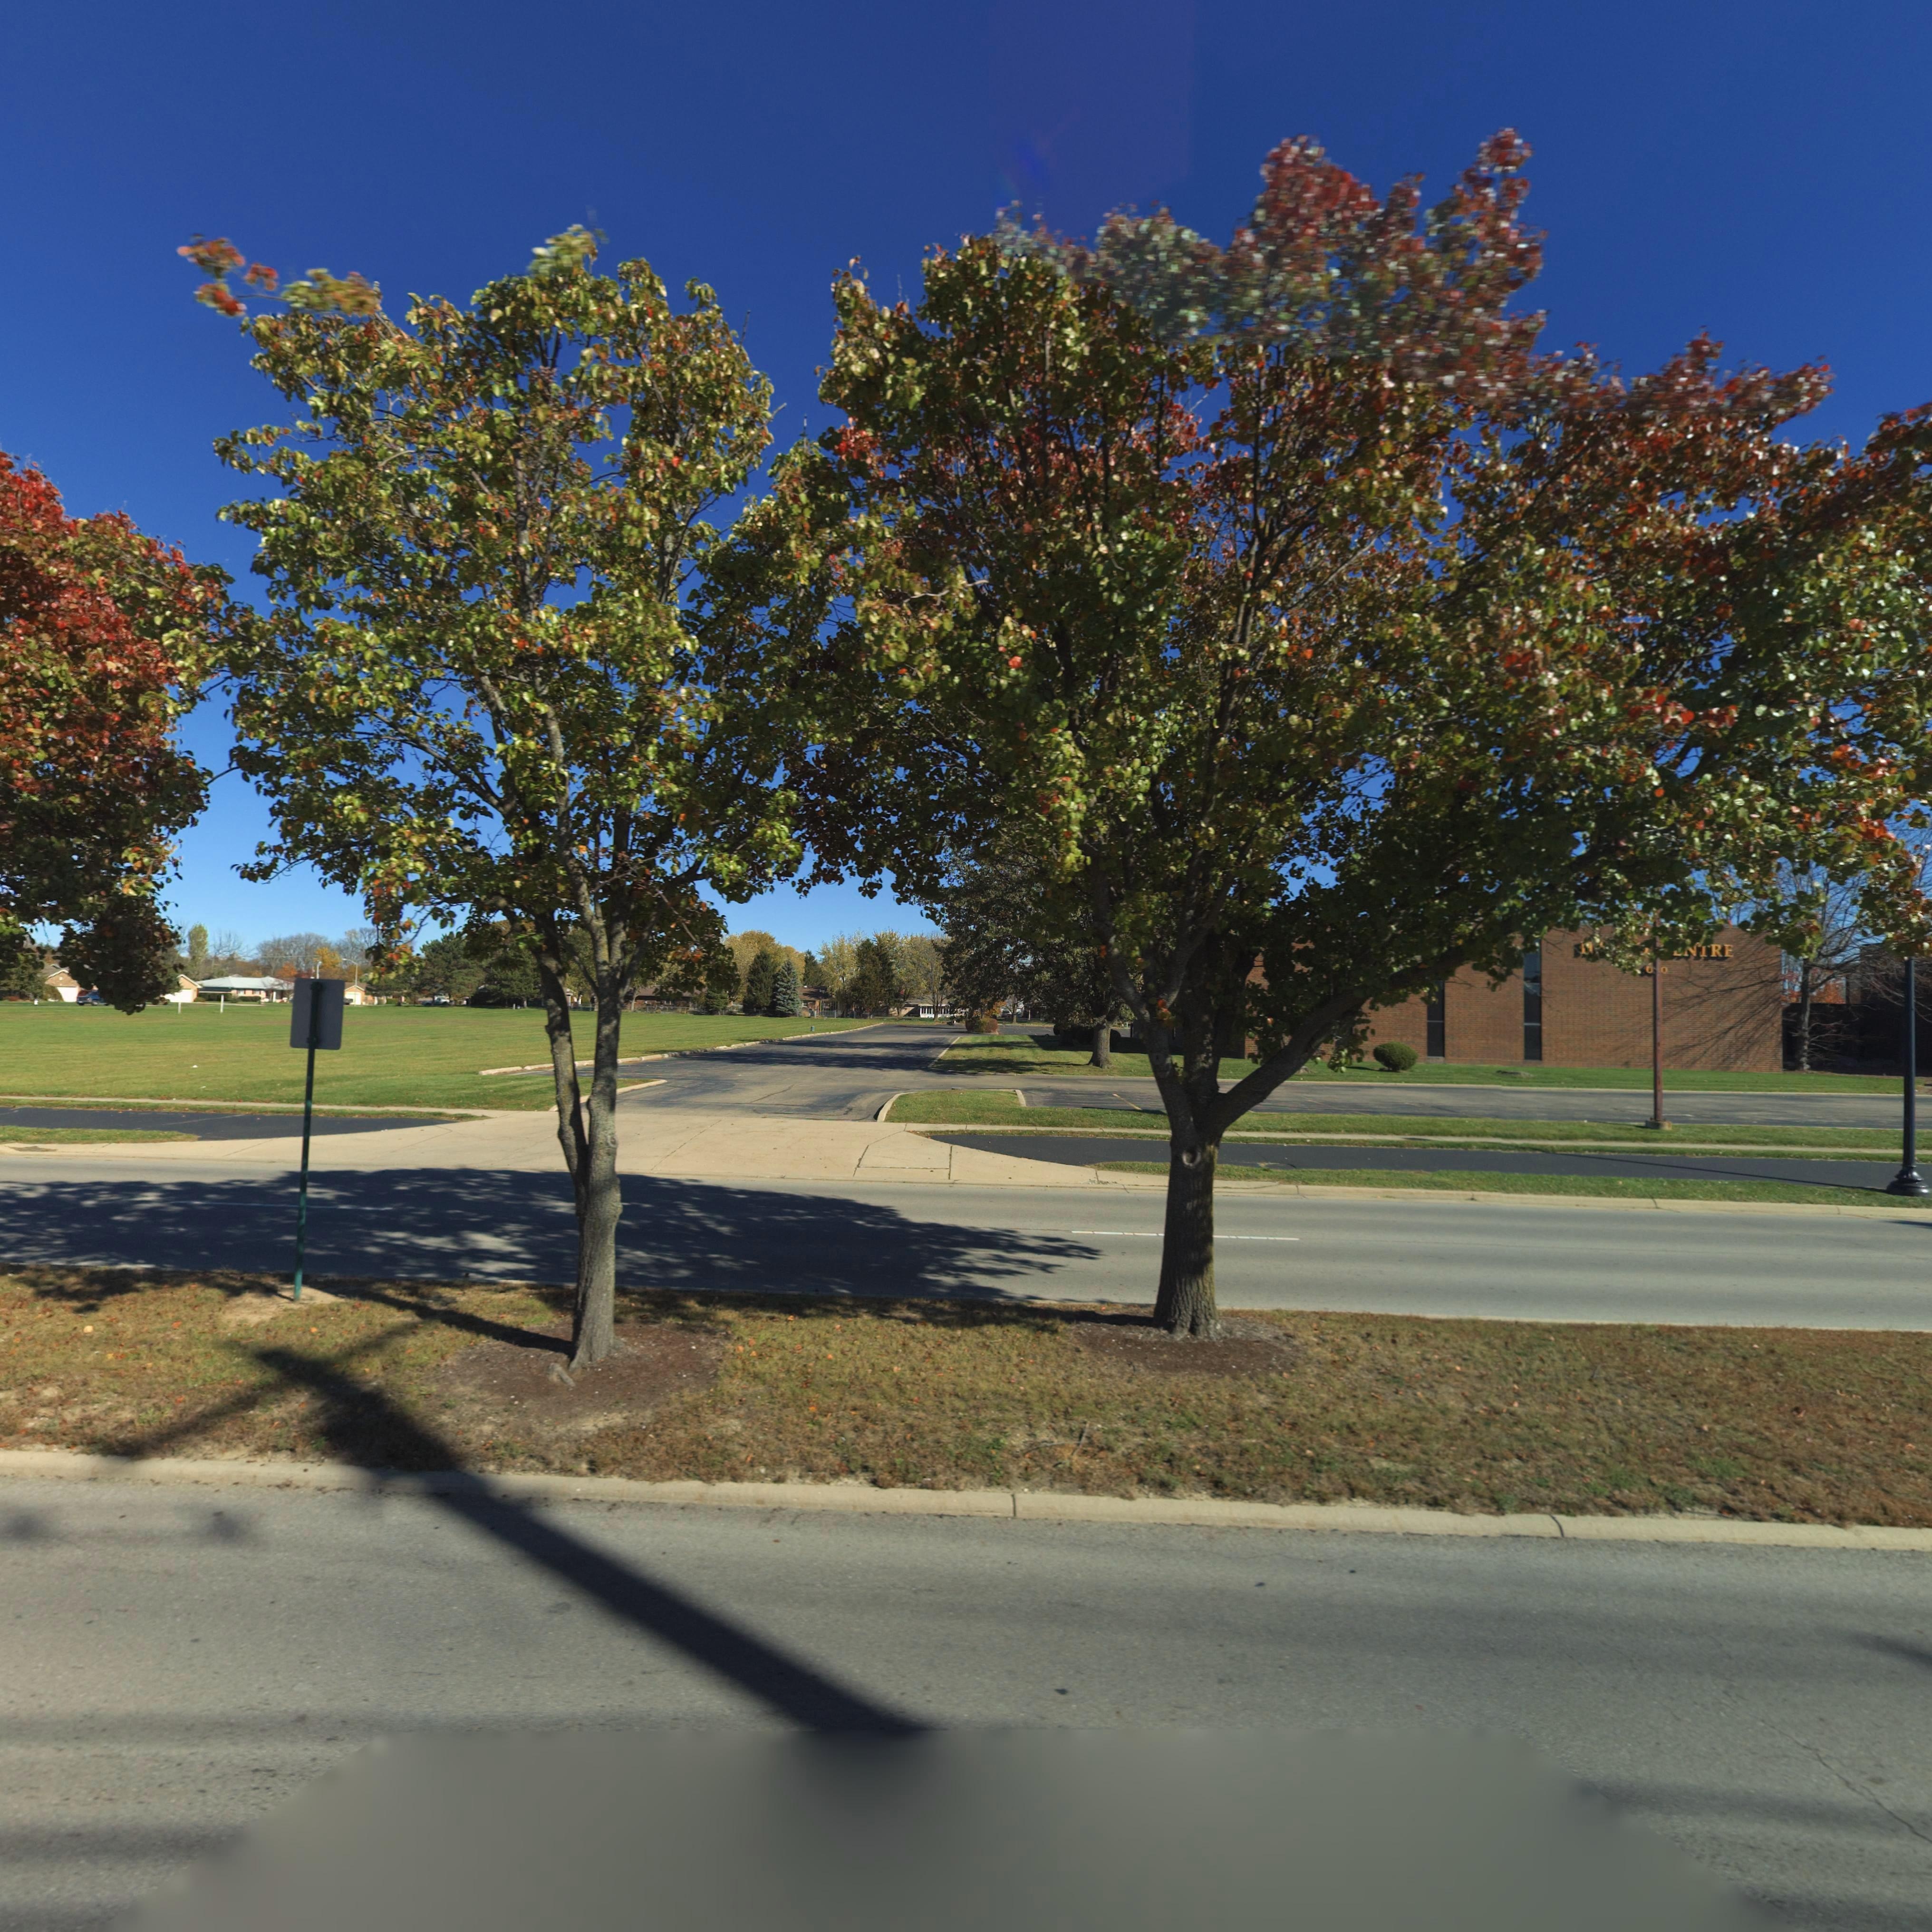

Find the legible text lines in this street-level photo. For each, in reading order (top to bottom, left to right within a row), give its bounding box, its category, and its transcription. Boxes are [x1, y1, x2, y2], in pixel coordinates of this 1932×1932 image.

[1710, 943, 1735, 959] BusinessName: RE
[1644, 961, 1670, 976] StreetNumber: 6*0